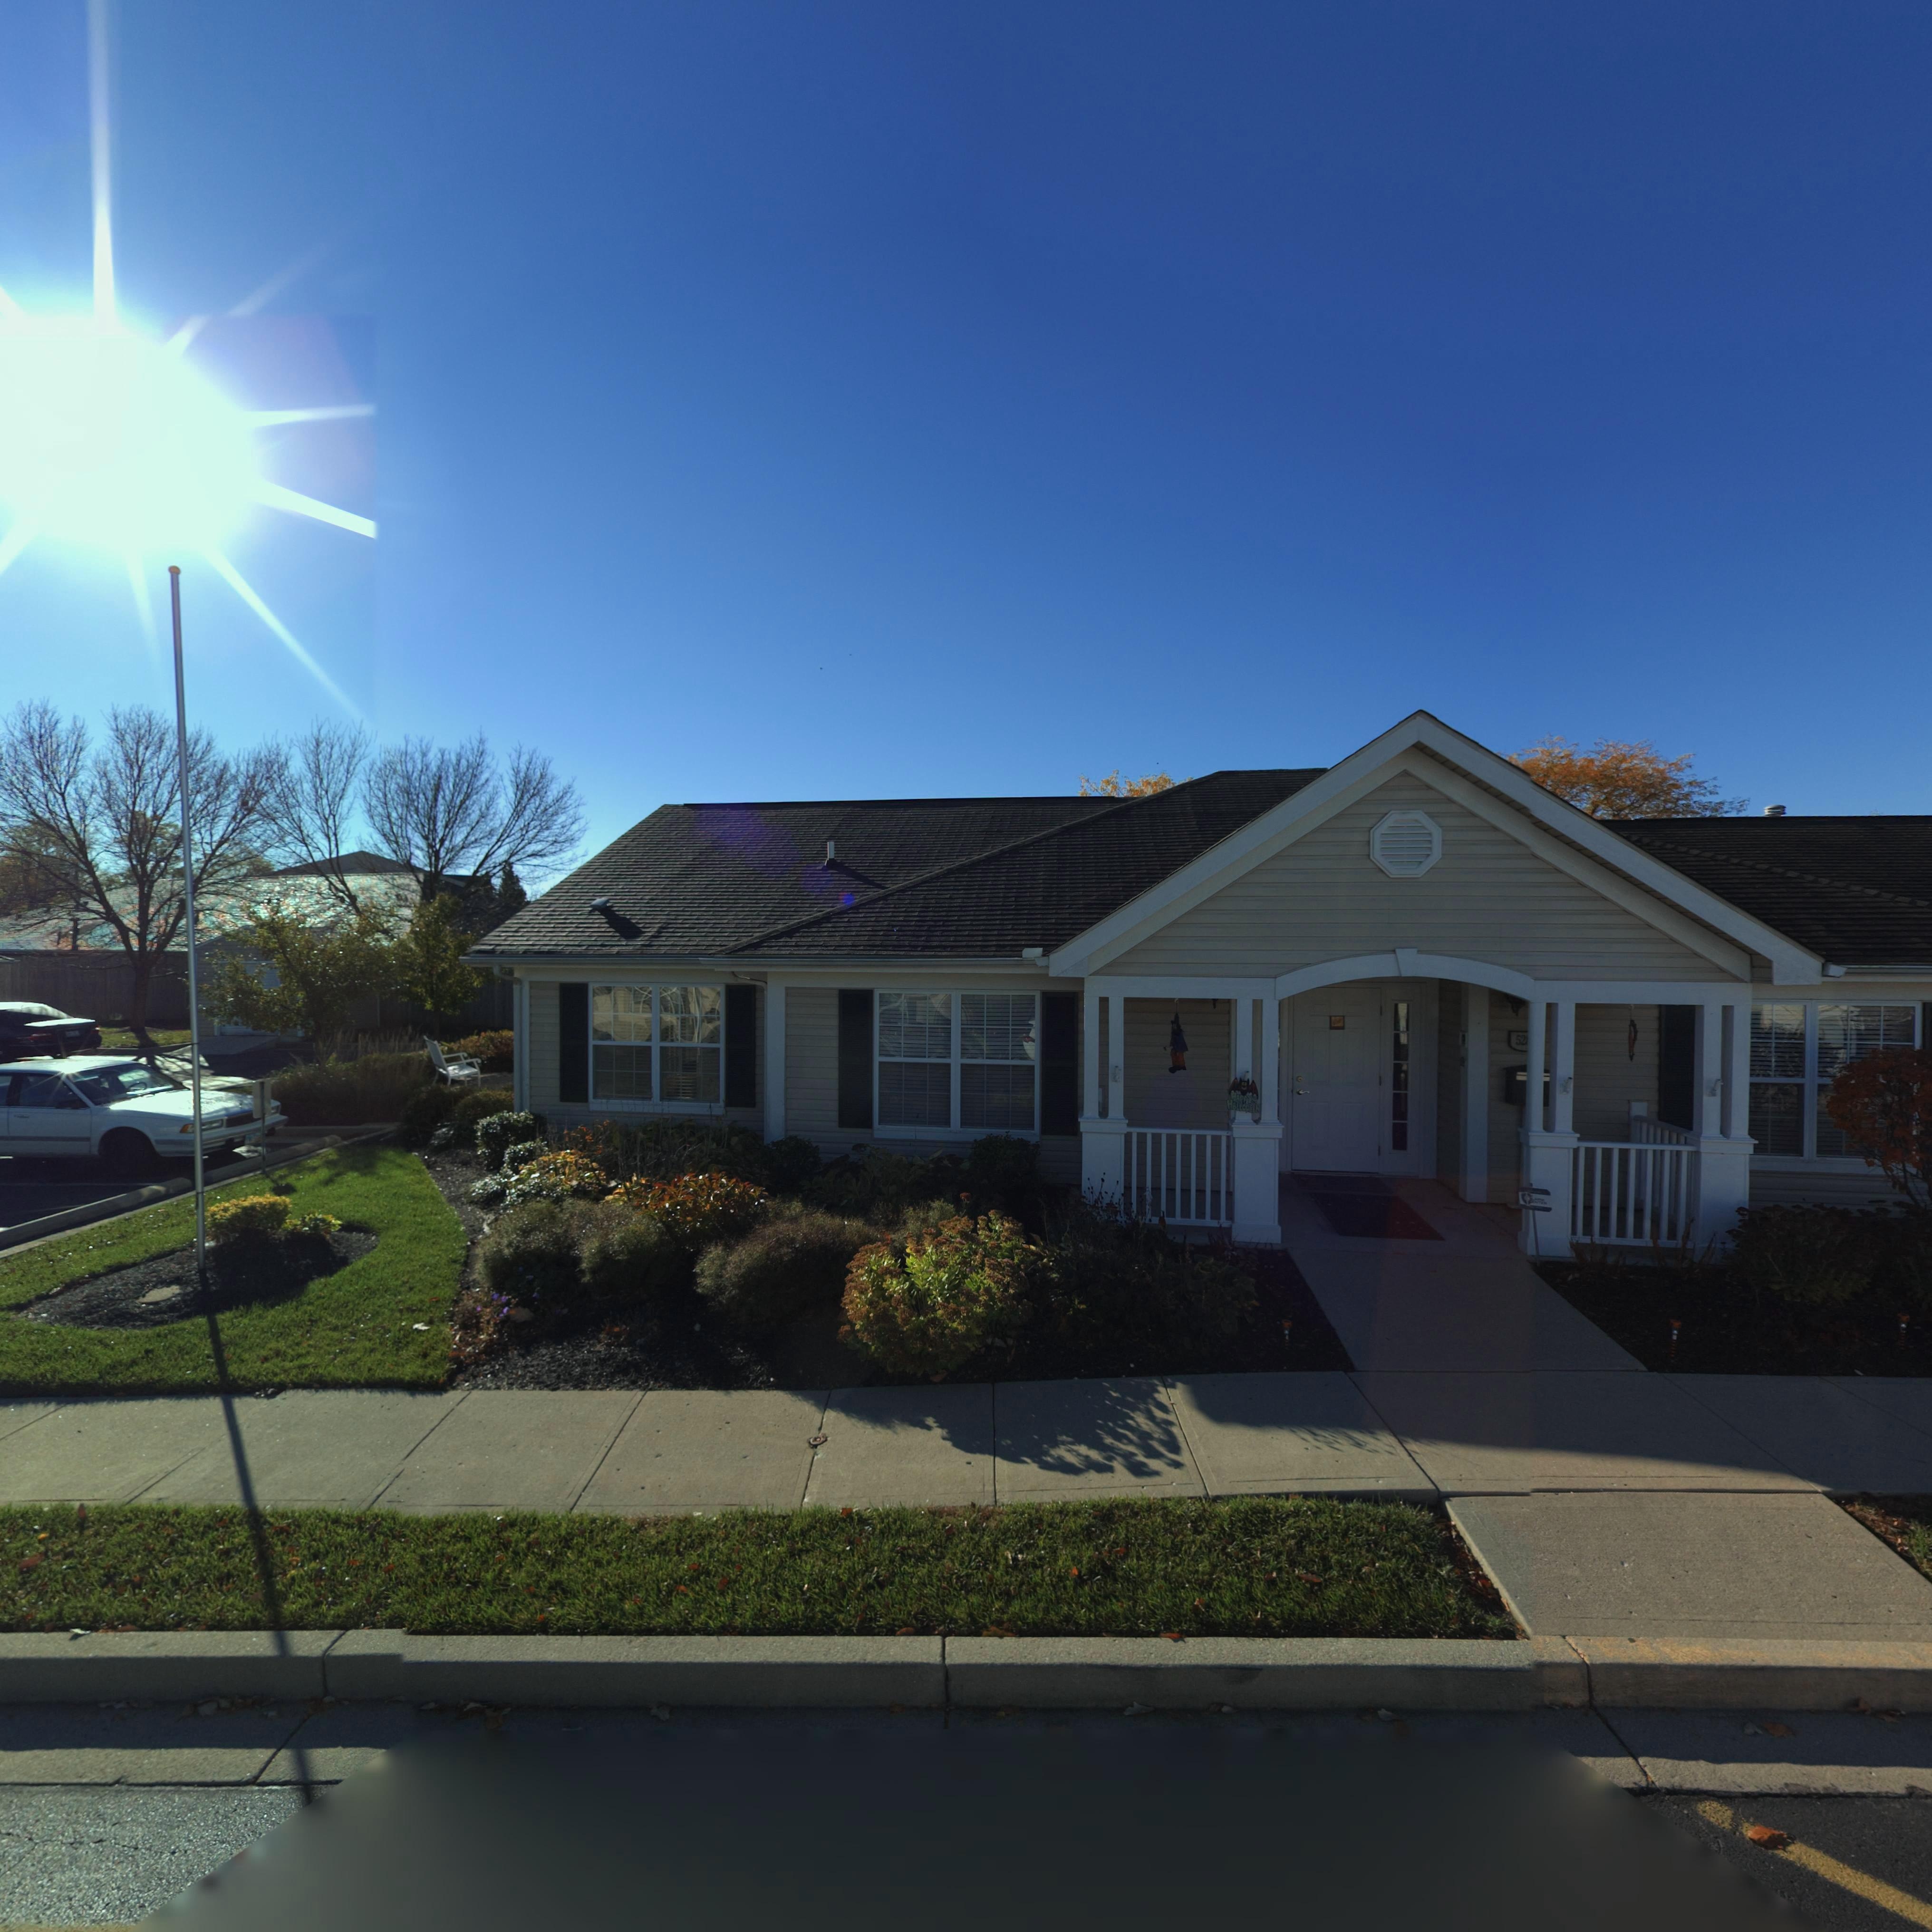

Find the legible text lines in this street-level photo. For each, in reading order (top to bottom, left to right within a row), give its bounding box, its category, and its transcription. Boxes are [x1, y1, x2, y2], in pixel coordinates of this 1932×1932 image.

[1515, 1034, 1526, 1045] StreetNumber: 52